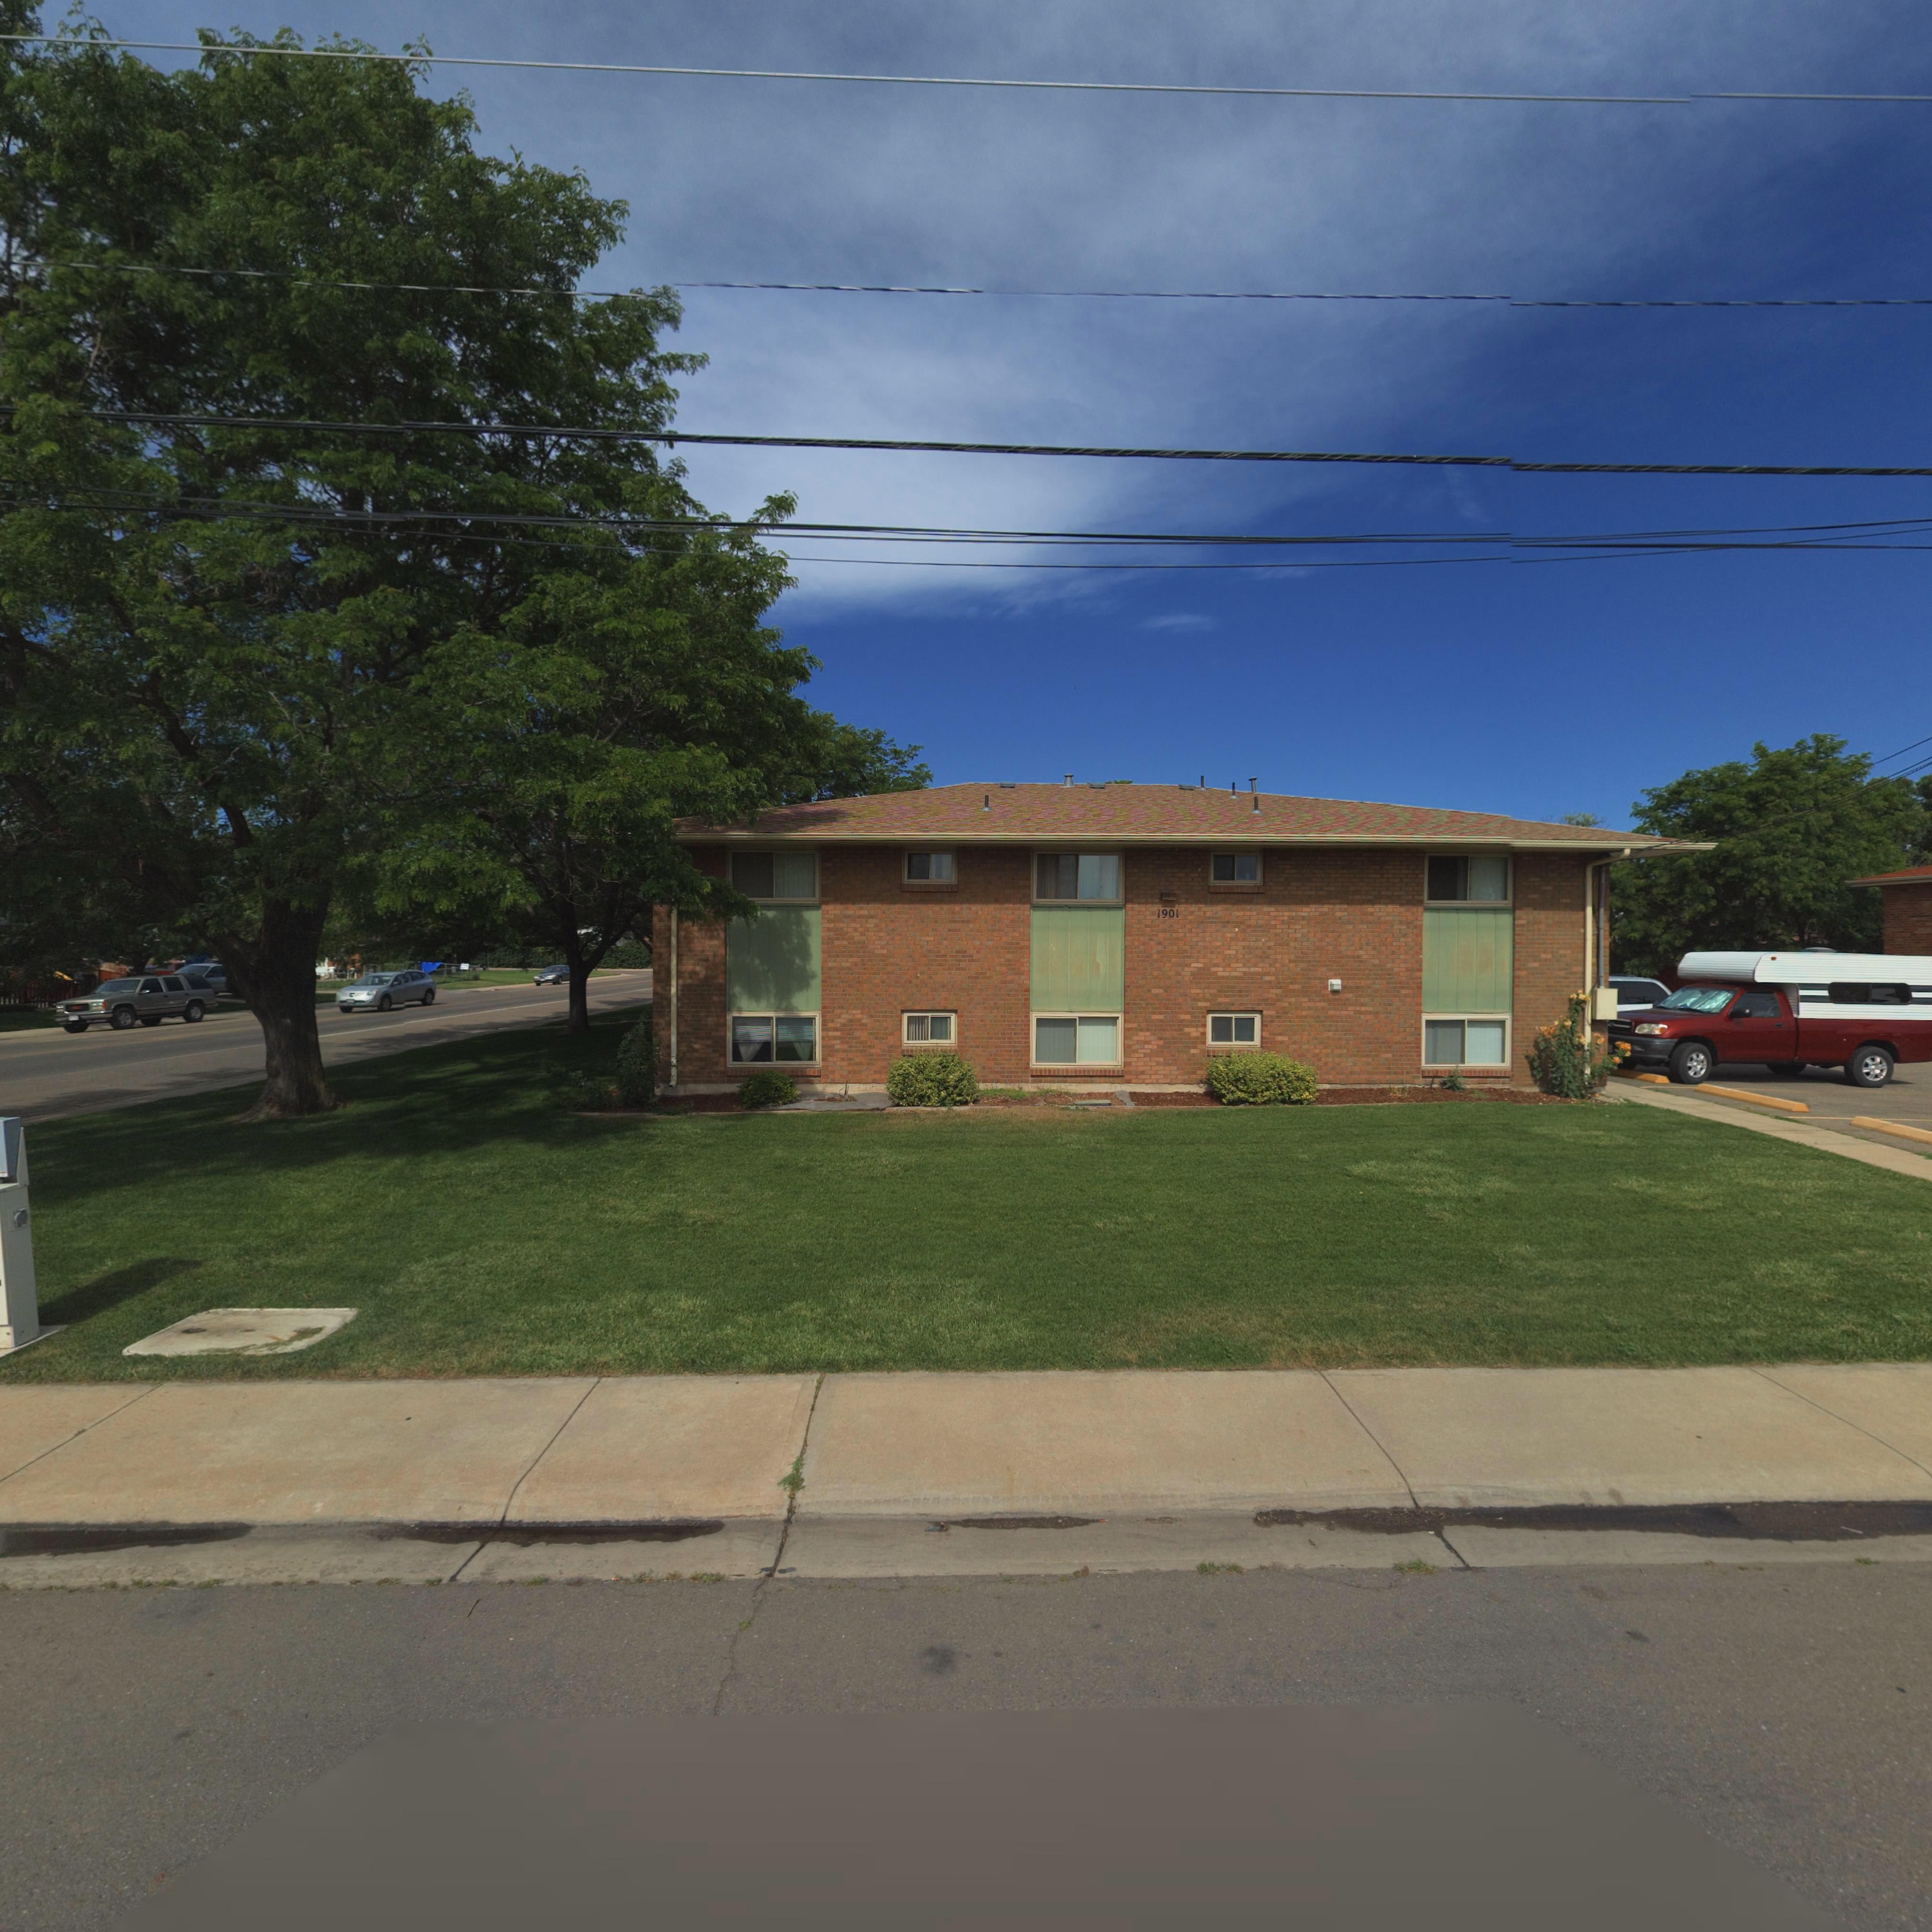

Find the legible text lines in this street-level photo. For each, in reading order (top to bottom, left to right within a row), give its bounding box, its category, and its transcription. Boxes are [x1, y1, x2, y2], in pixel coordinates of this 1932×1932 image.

[1156, 908, 1179, 918] StreetNumber: 1901